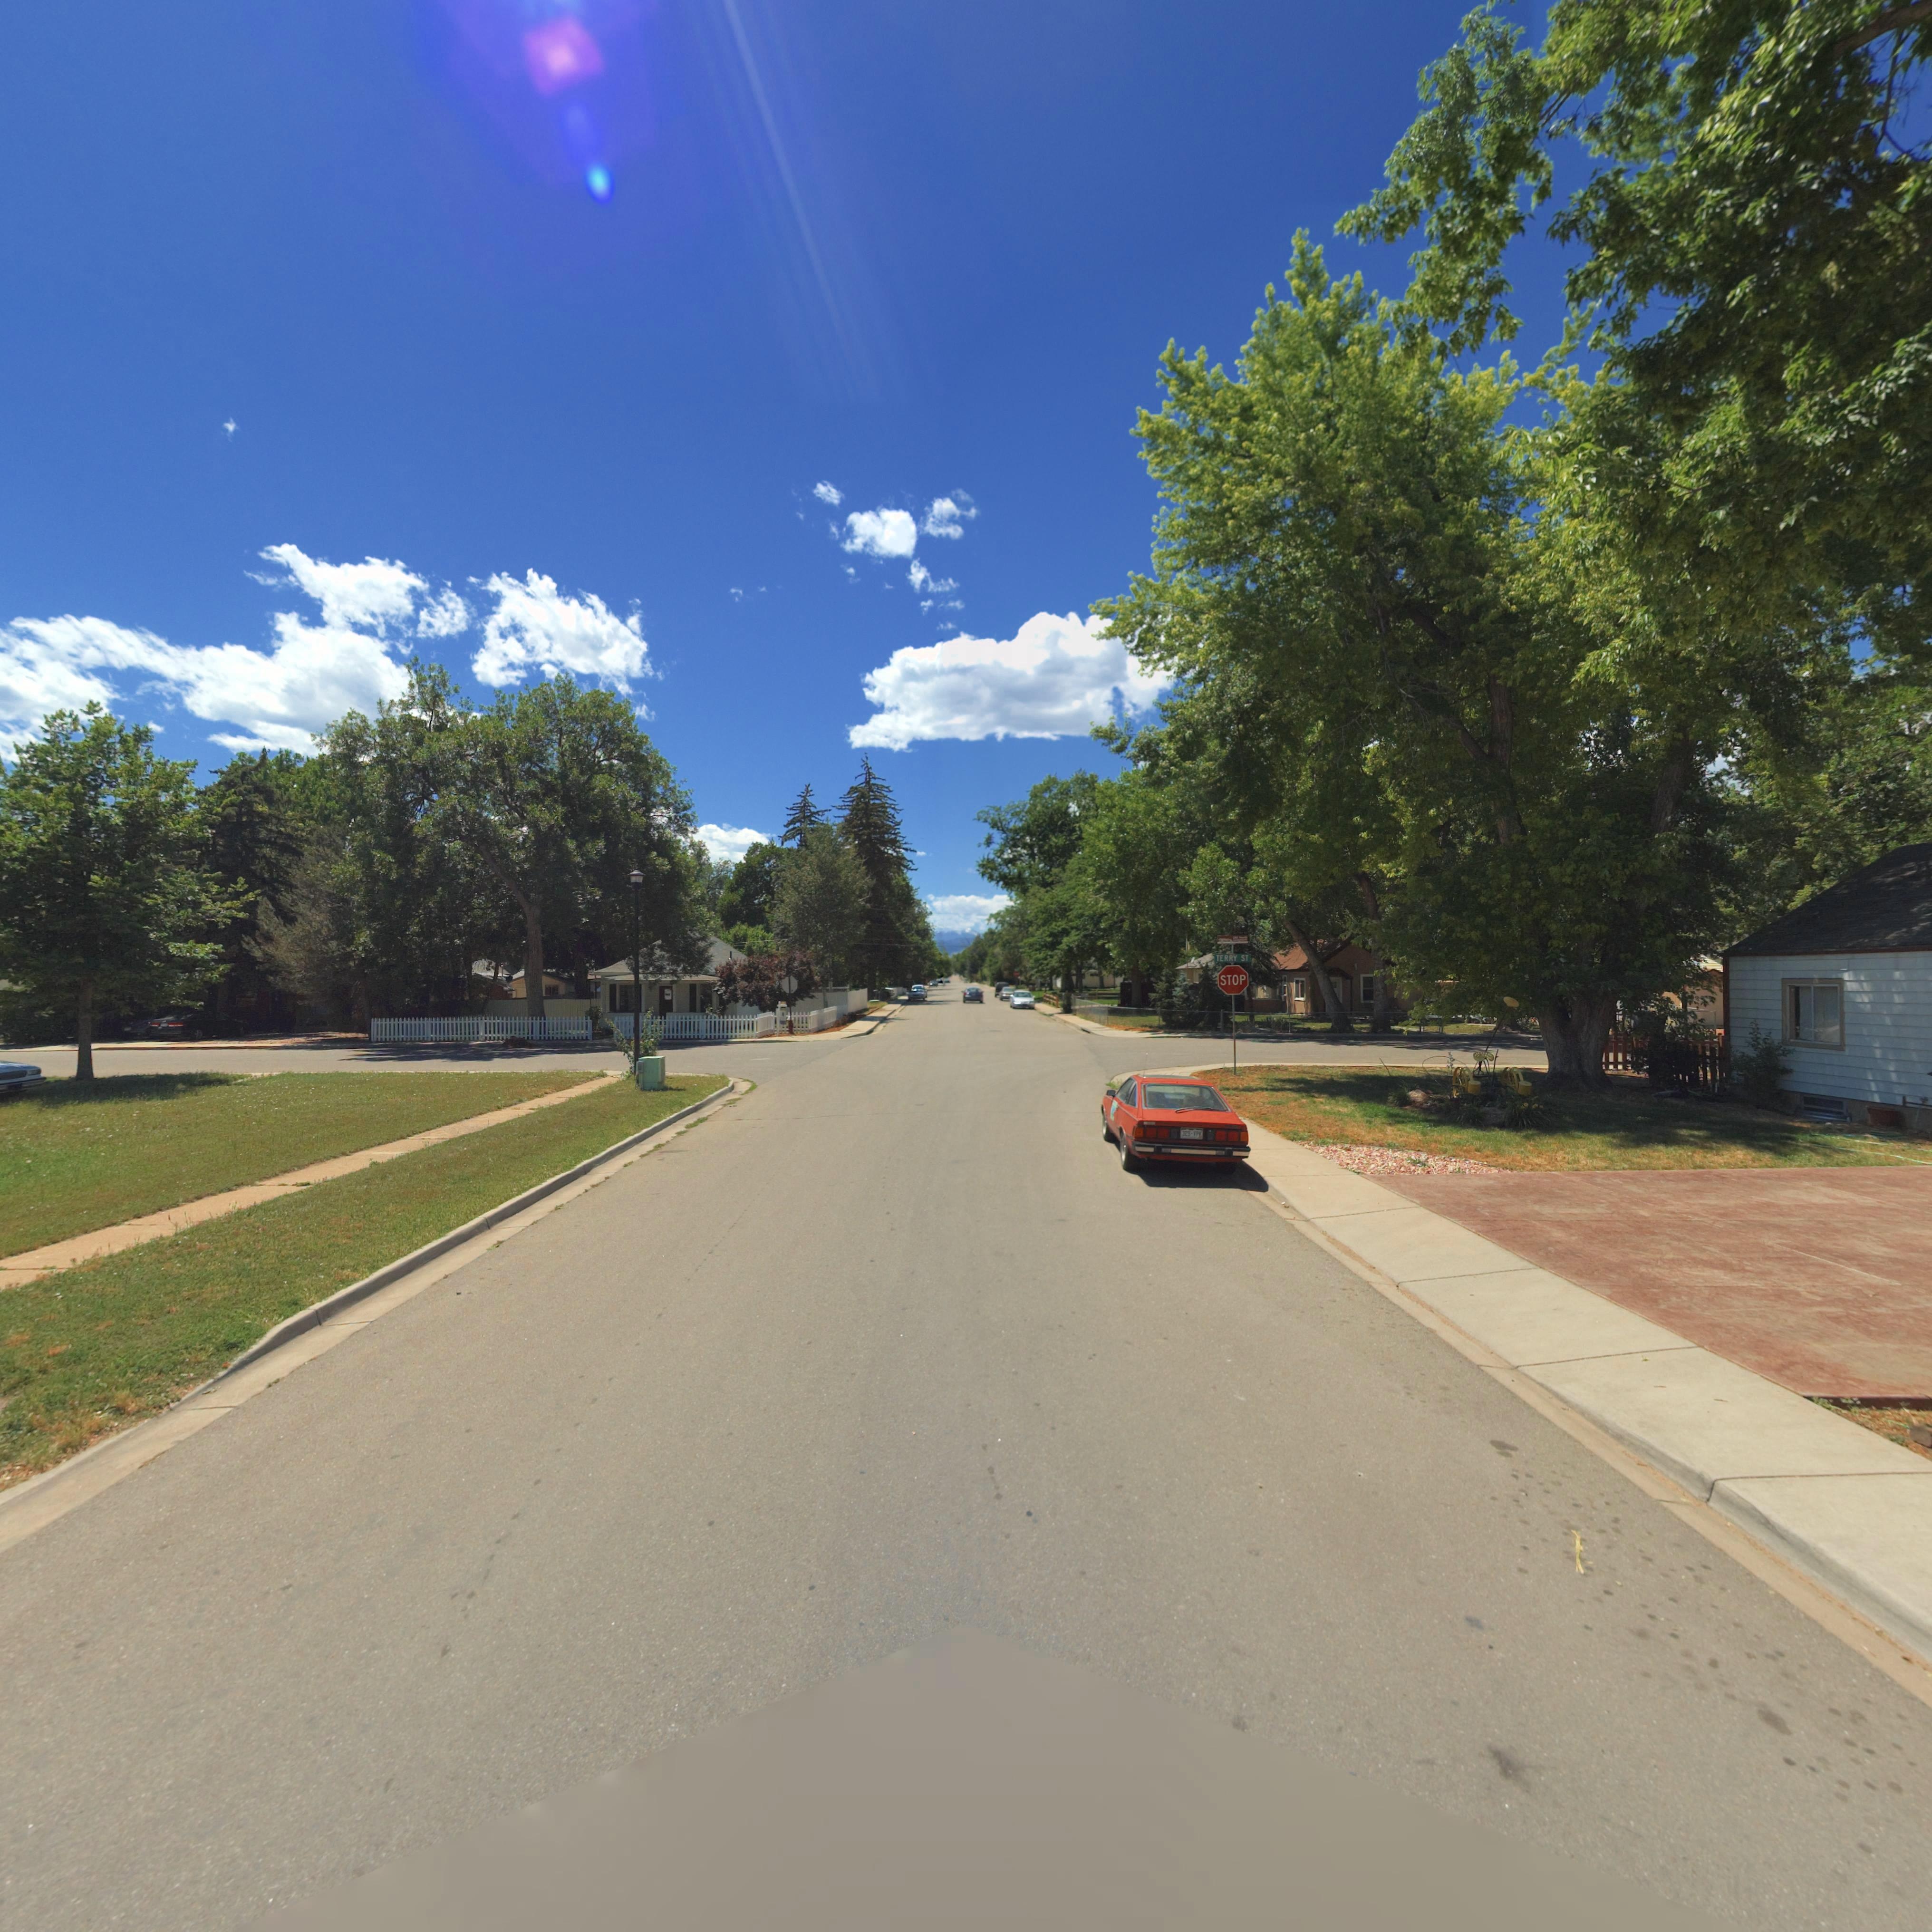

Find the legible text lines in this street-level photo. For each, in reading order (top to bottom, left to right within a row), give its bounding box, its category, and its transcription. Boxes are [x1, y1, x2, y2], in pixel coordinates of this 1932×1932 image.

[1215, 954, 1249, 961] StreetName: TERRY ST